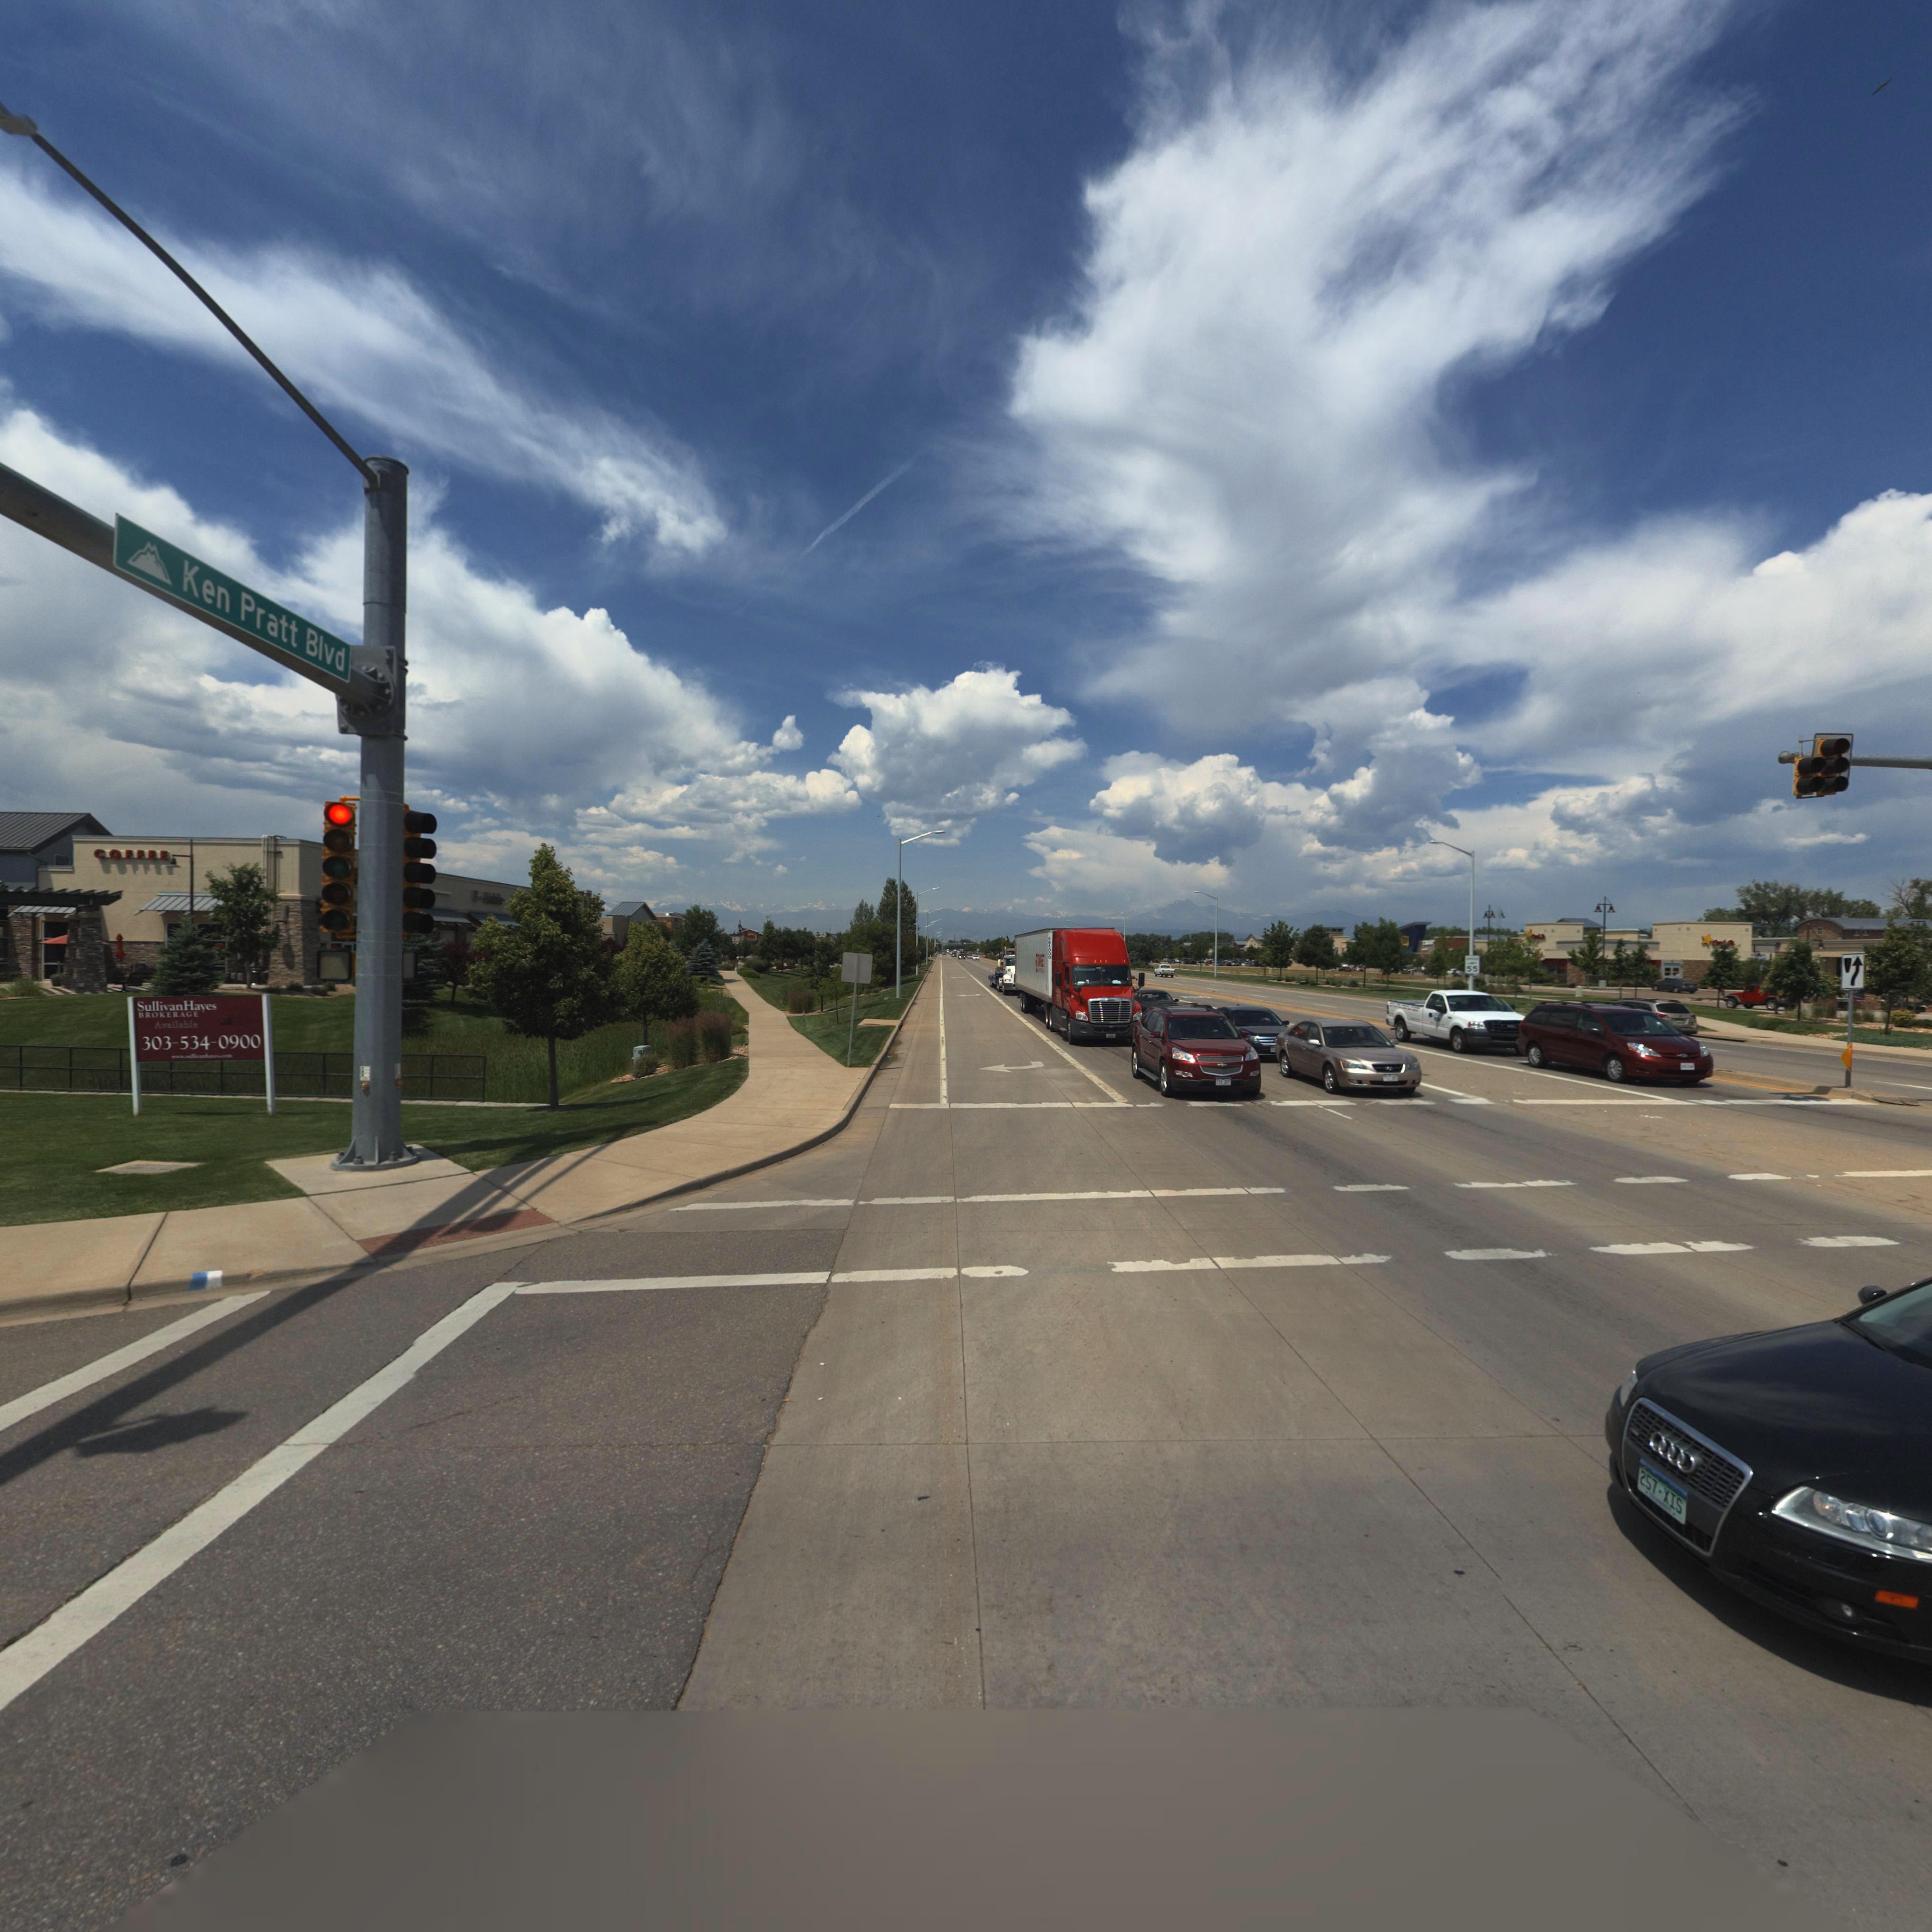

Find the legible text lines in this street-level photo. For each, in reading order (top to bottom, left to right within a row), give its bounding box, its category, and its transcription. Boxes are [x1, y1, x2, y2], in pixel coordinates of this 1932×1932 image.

[181, 558, 346, 673] StreetName: Ken PRatt Blvd
[472, 889, 504, 906] BusinessName: T***Mobile
[1530, 933, 1546, 940] BusinessName: C**LS
[1711, 938, 1735, 946] BusinessName: C****